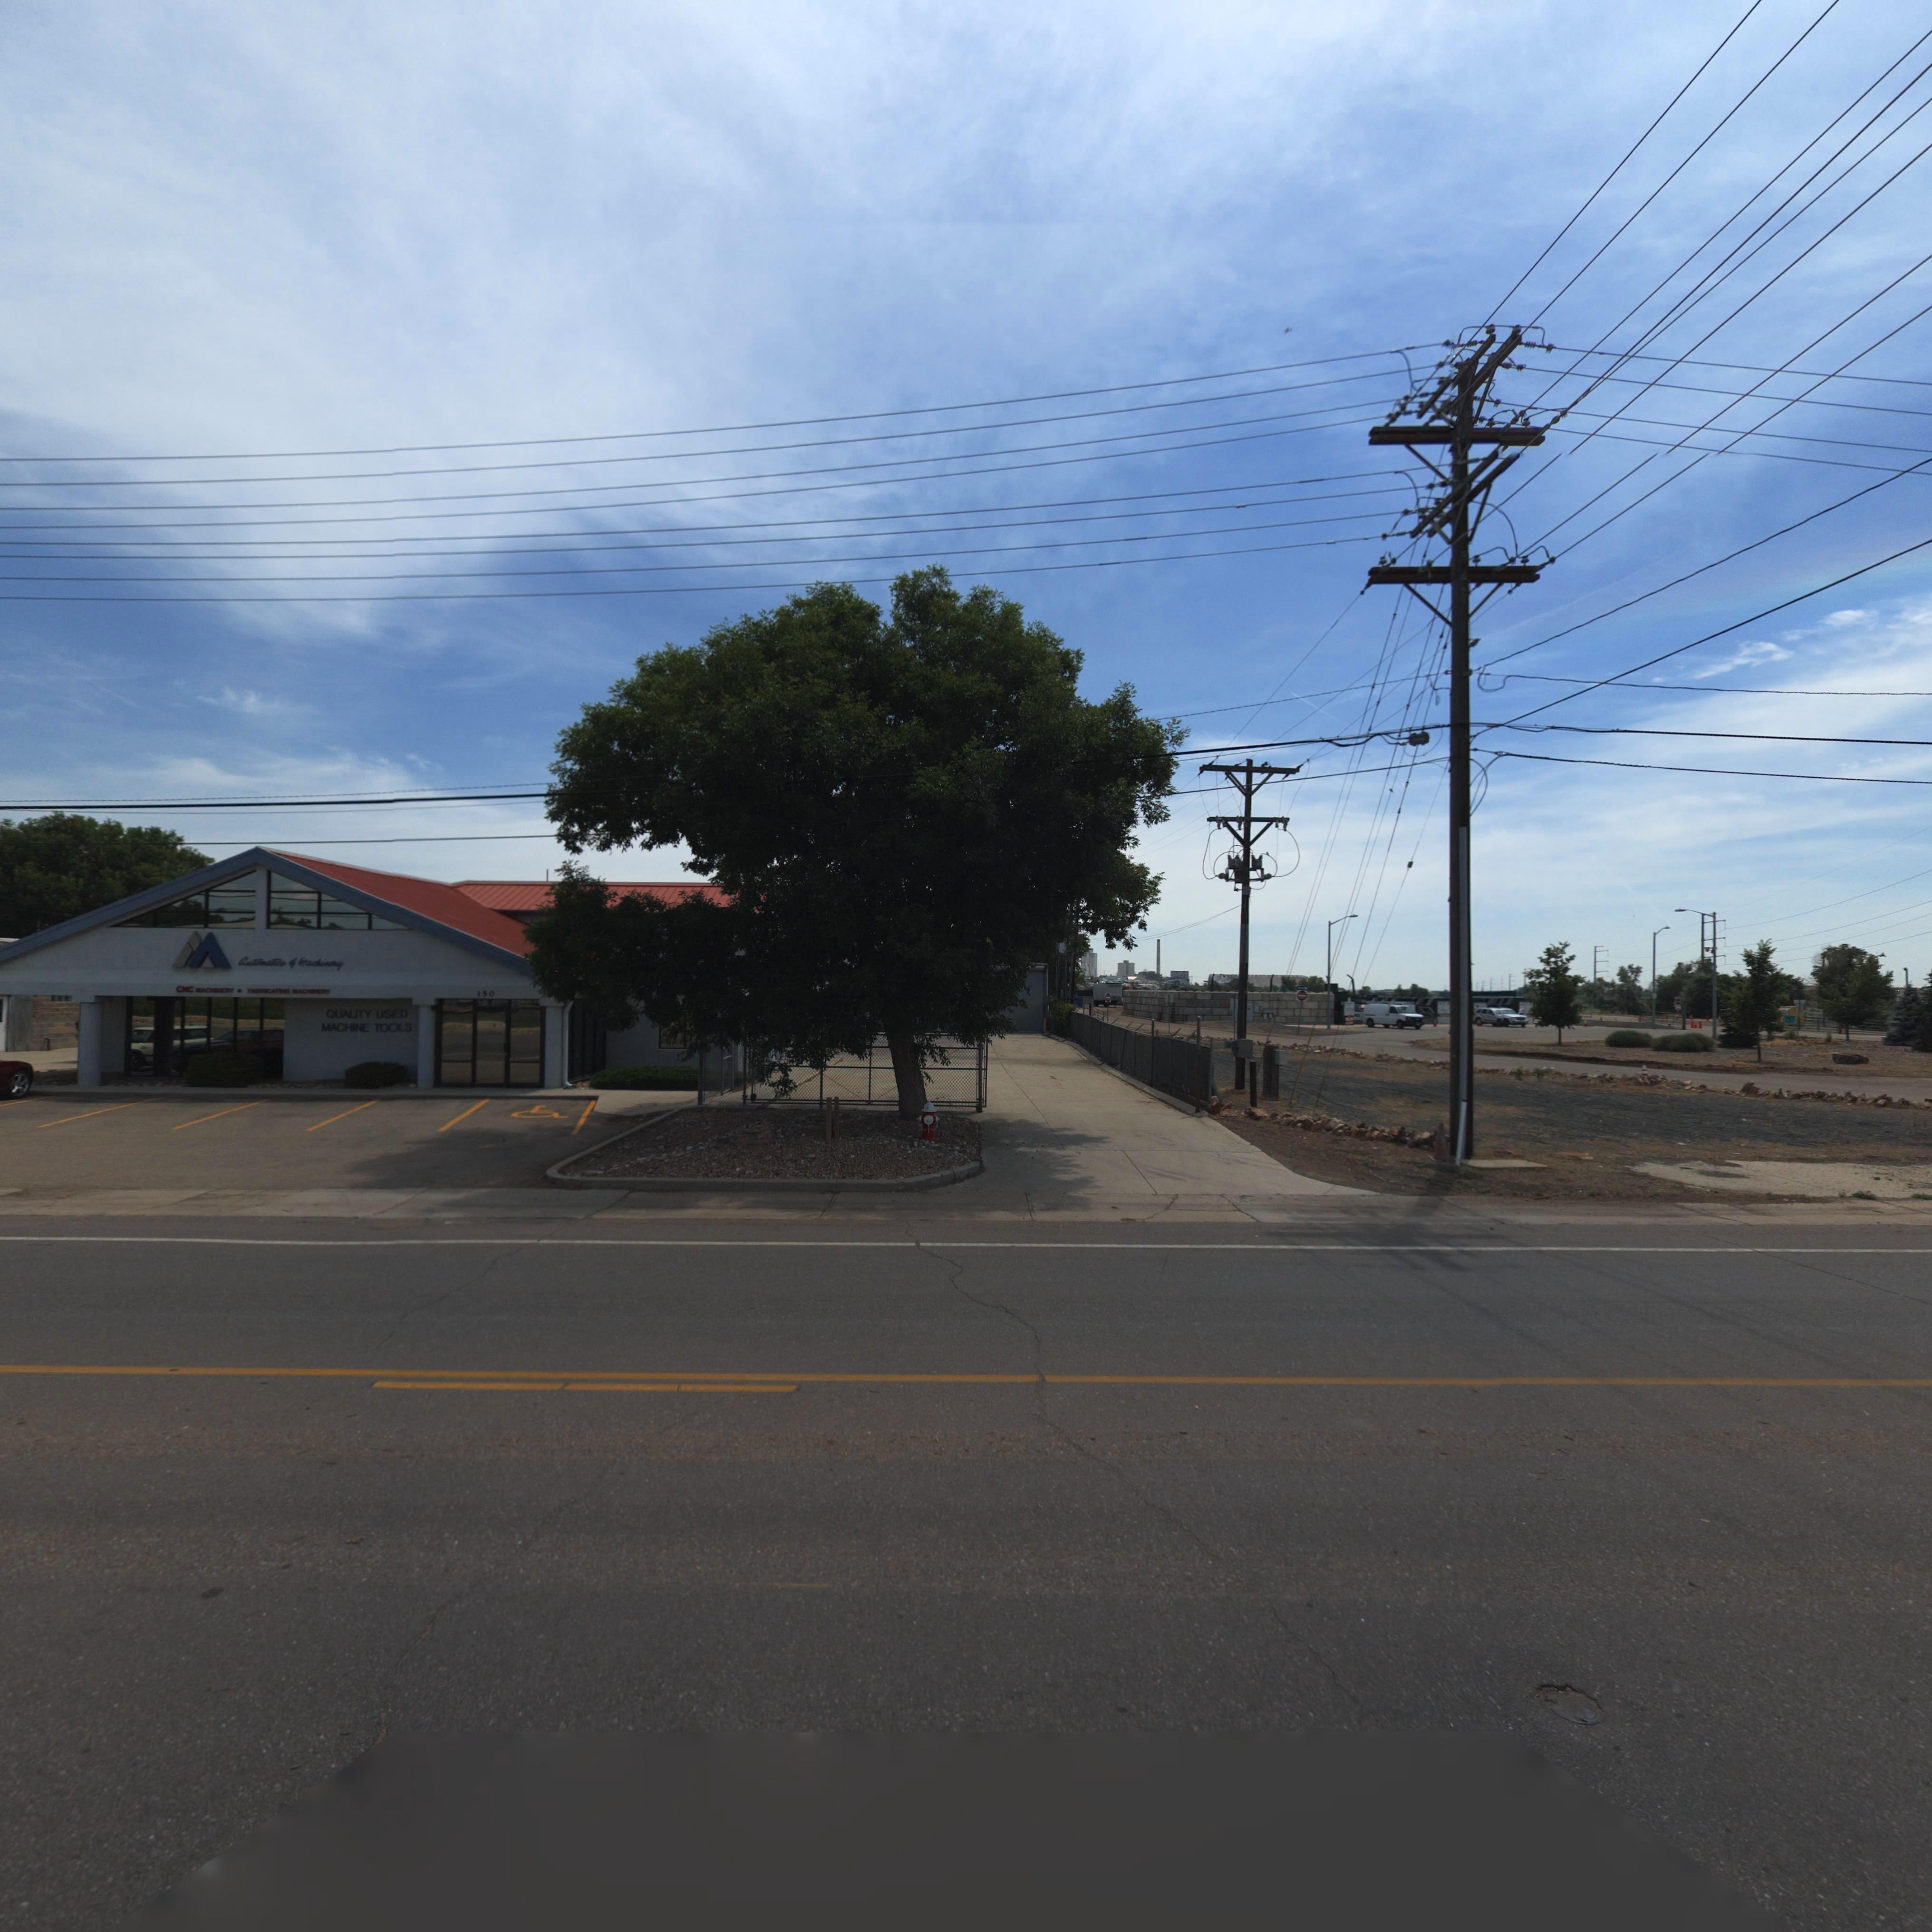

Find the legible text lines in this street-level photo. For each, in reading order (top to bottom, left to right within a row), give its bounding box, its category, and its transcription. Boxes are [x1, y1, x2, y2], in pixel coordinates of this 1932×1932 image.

[475, 989, 495, 999] StreetNumber: 150